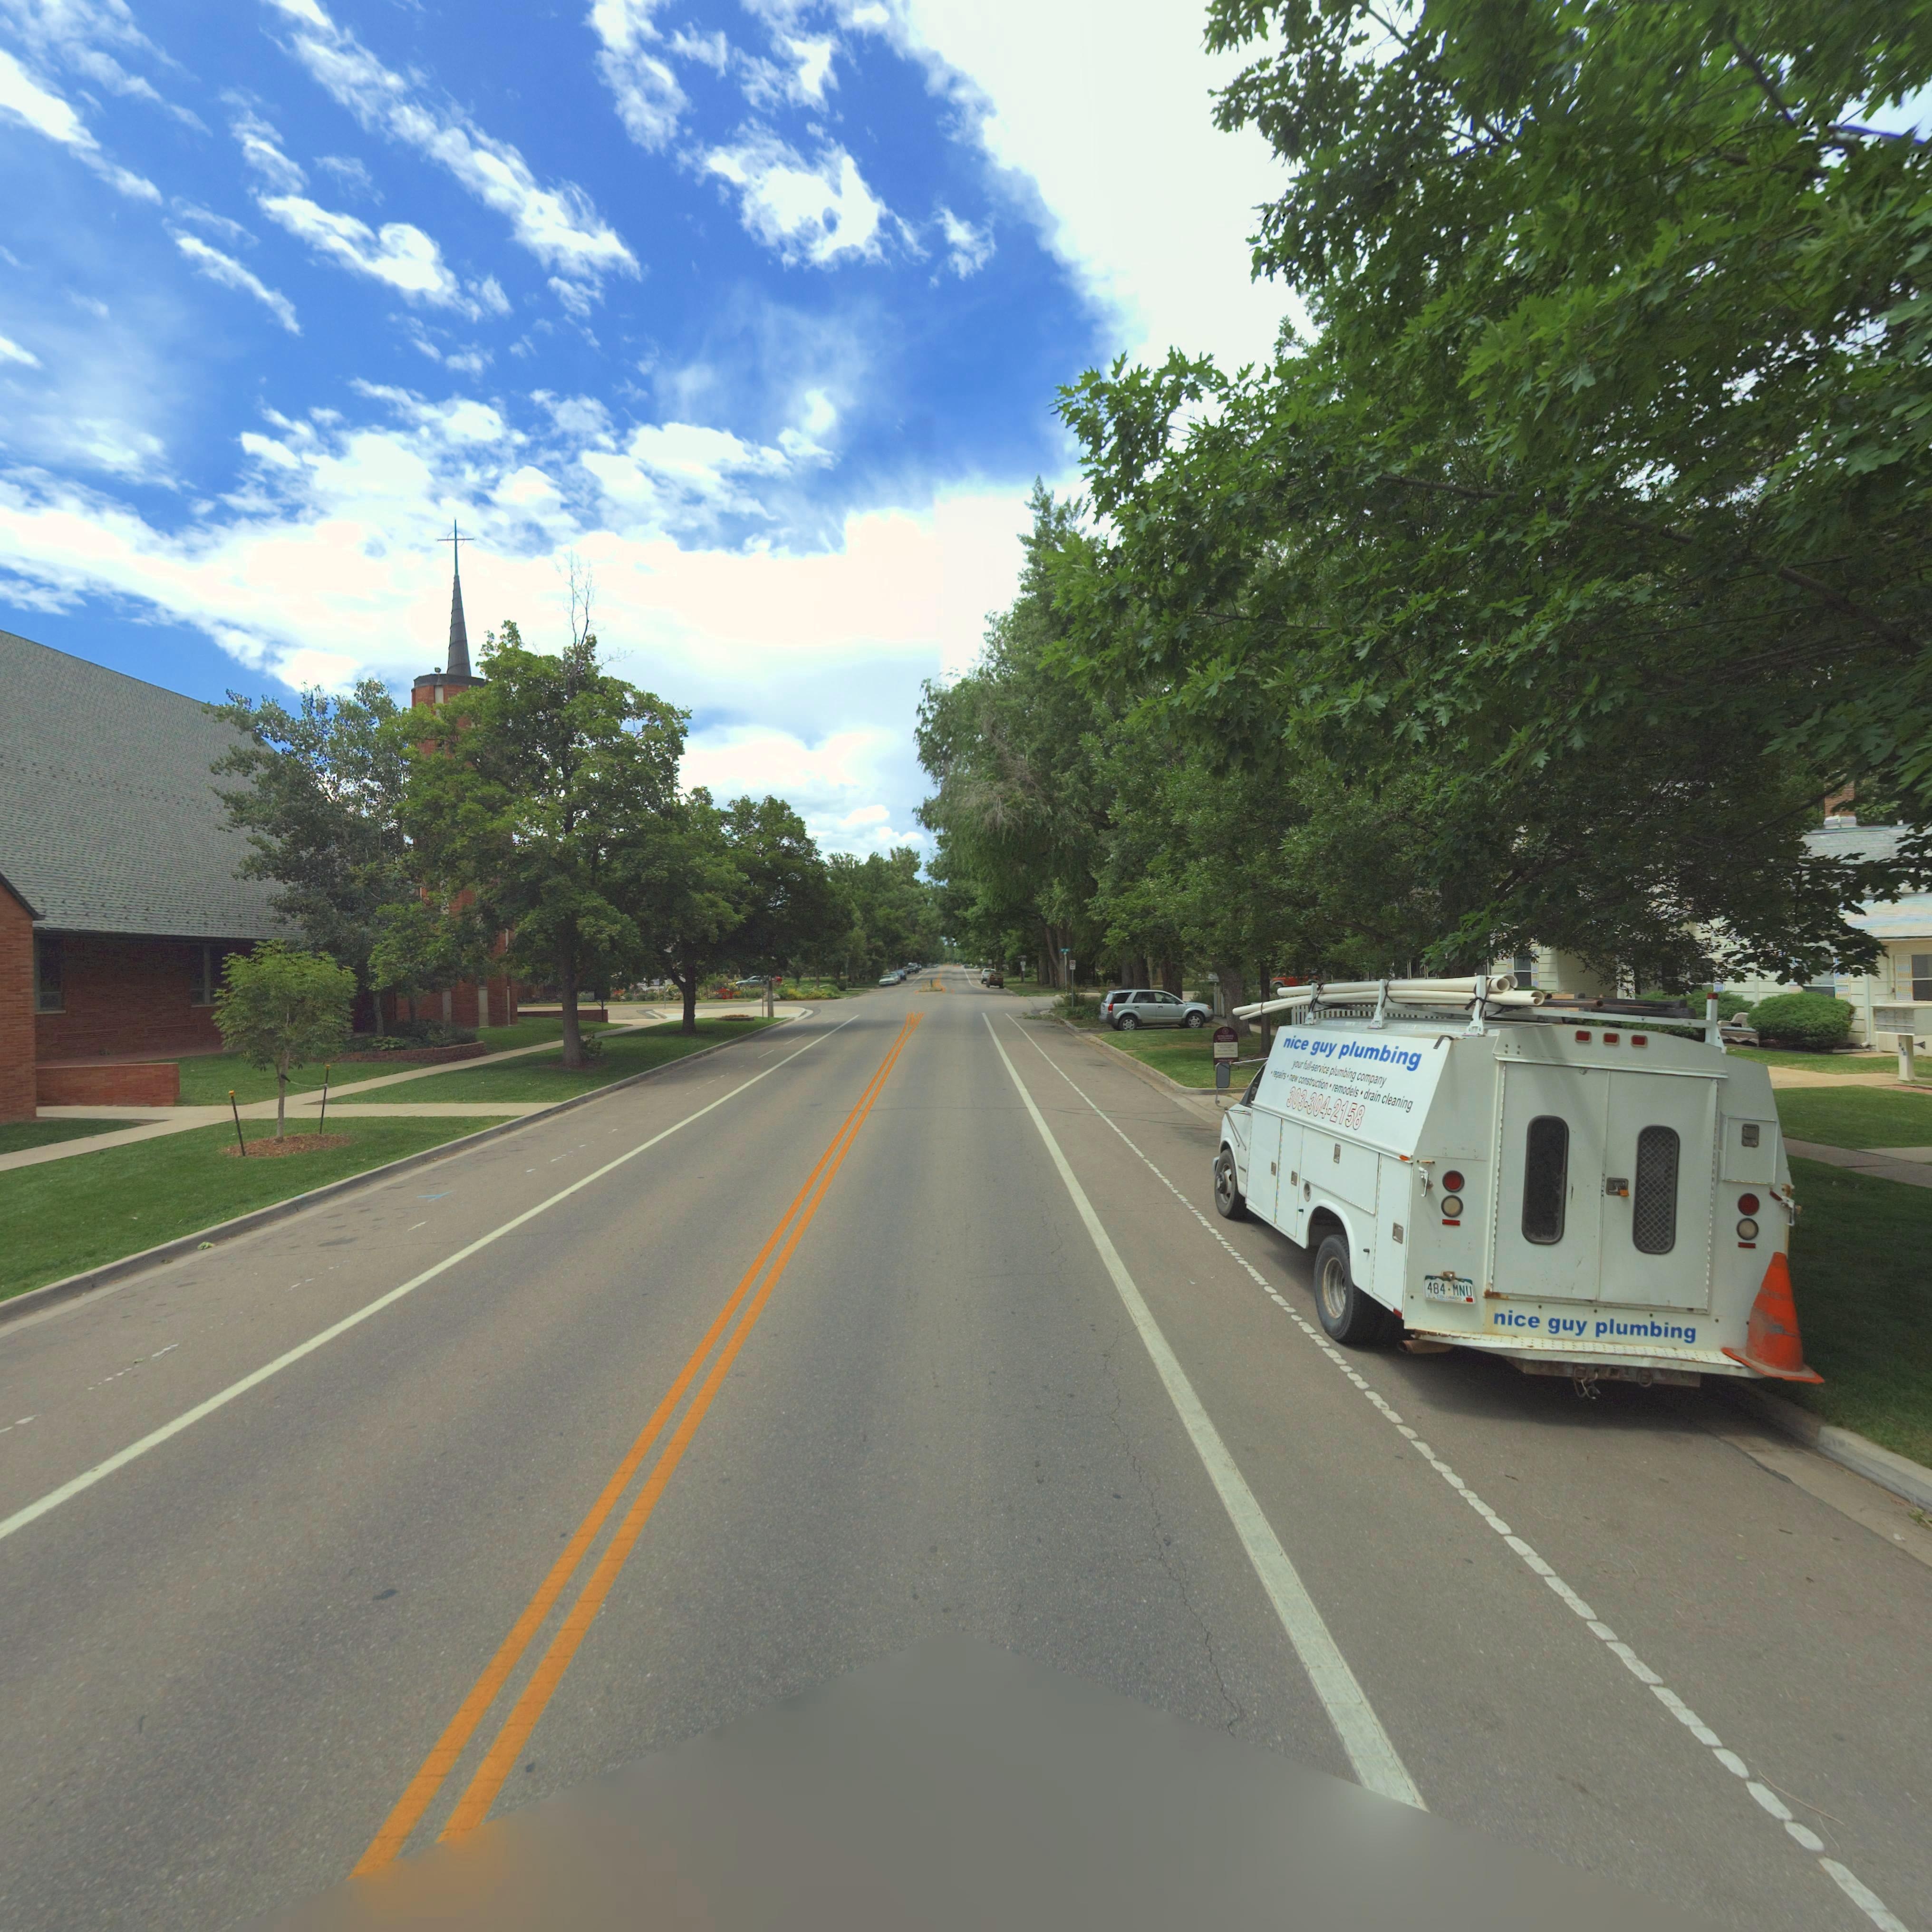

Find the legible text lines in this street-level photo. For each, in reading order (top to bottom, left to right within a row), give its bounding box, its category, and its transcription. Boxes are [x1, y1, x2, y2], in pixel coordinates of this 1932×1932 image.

[1061, 948, 1069, 952] StreetName: 4** **